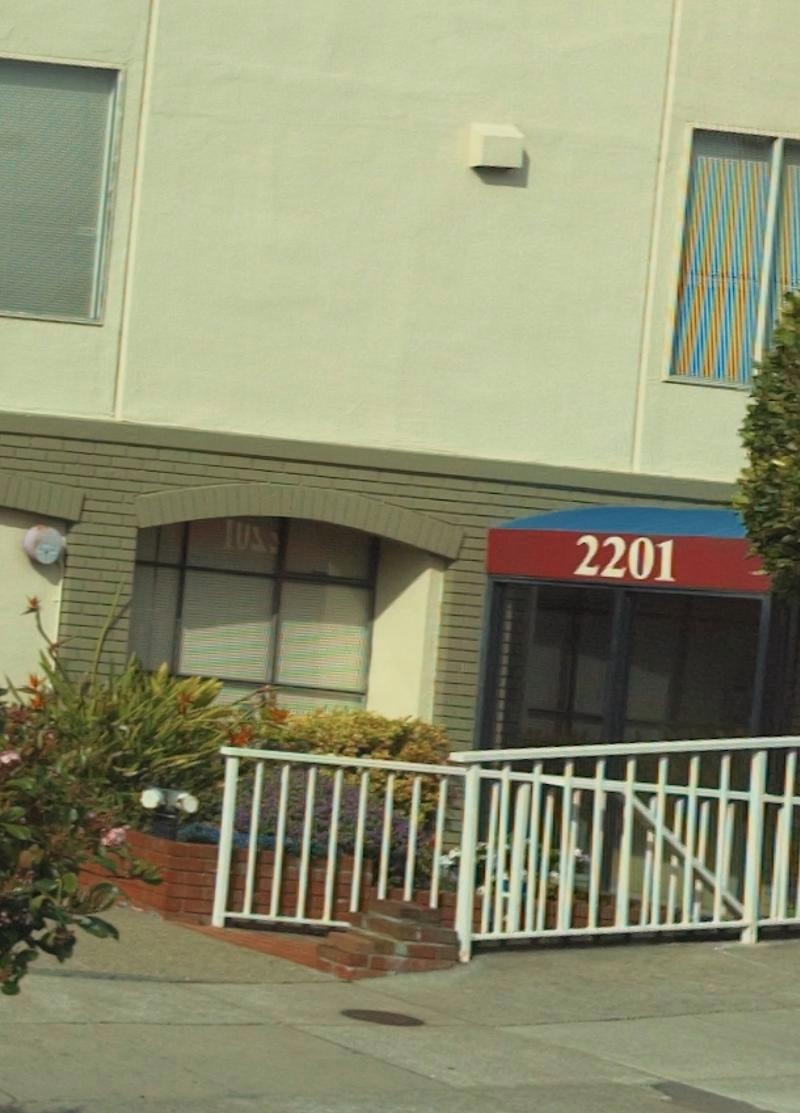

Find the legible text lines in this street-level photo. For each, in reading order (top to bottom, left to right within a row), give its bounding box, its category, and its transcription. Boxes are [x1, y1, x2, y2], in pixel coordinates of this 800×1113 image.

[572, 531, 678, 585] StreetNumber: 2201